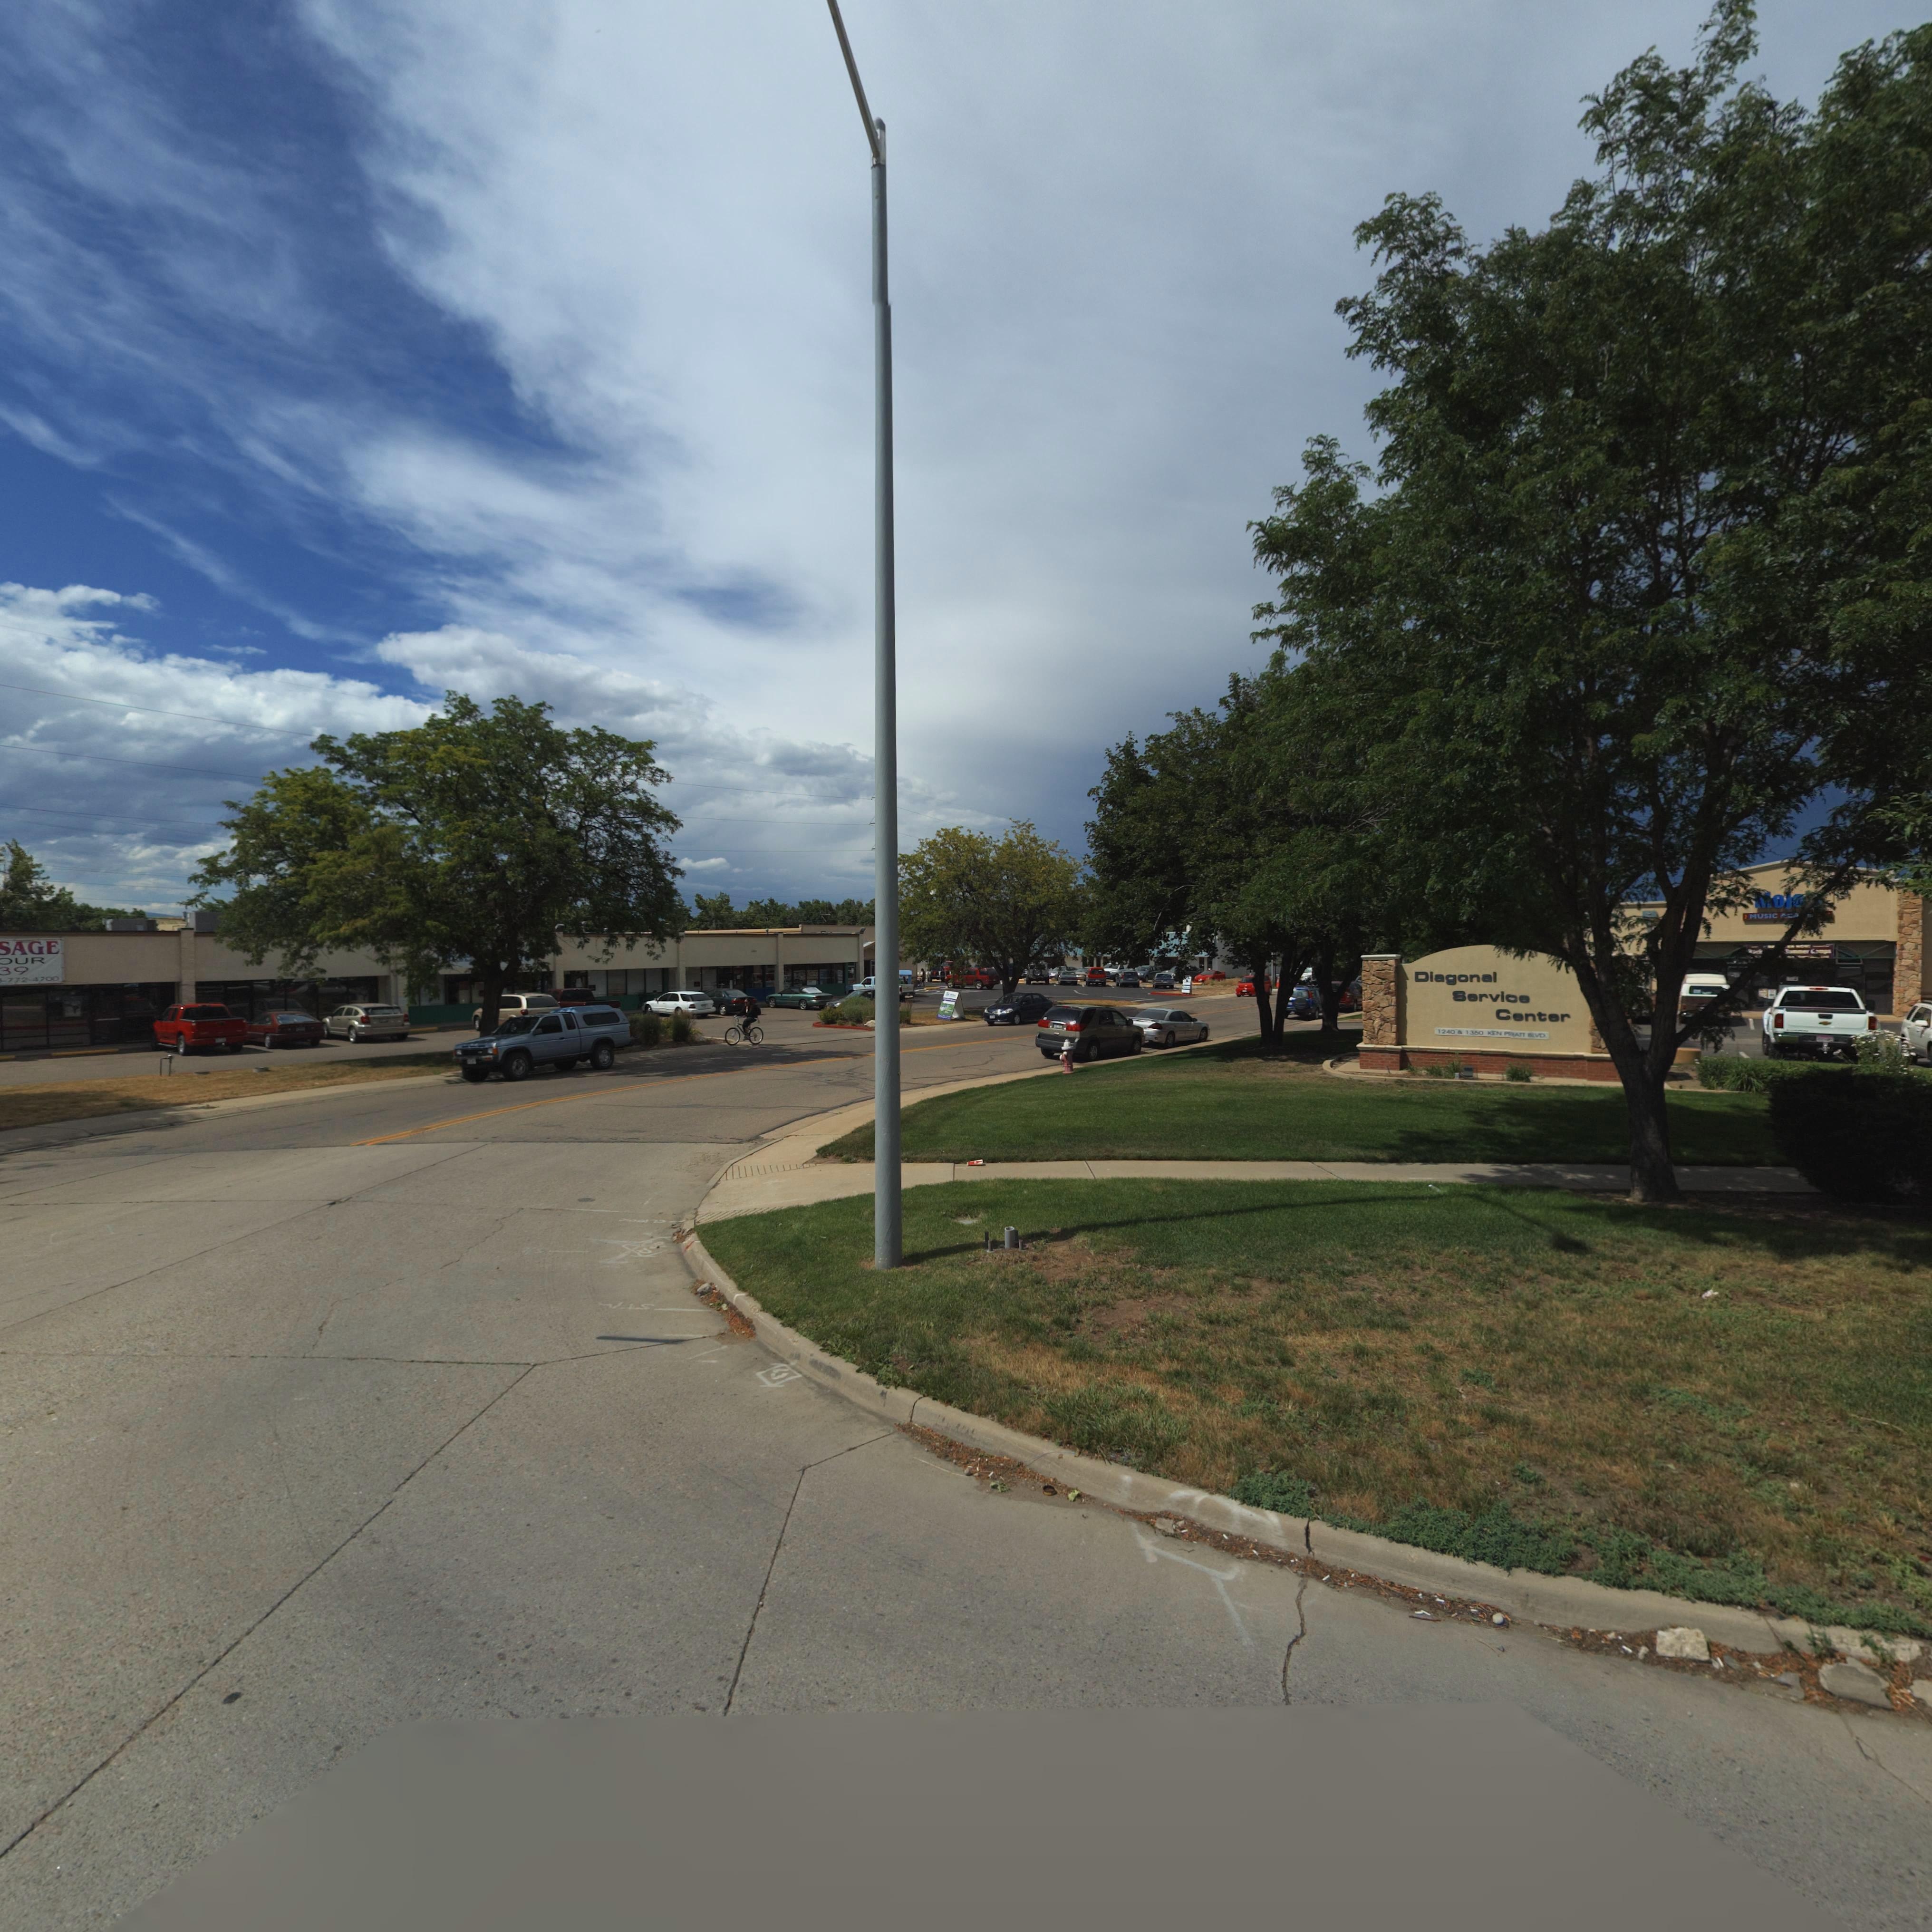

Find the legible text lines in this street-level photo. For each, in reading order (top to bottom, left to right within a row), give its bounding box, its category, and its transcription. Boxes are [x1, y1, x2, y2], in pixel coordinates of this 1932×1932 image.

[1754, 891, 1806, 909] BusinessName: *oj*
[1749, 913, 1778, 919] BusinessName: MUSIC
[1437, 1029, 1455, 1034] StreetNumber: 1240
[1466, 1030, 1483, 1035] StreetNumber: 1350
[1487, 1030, 1546, 1038] StreetName: KEN PRATT BLVD